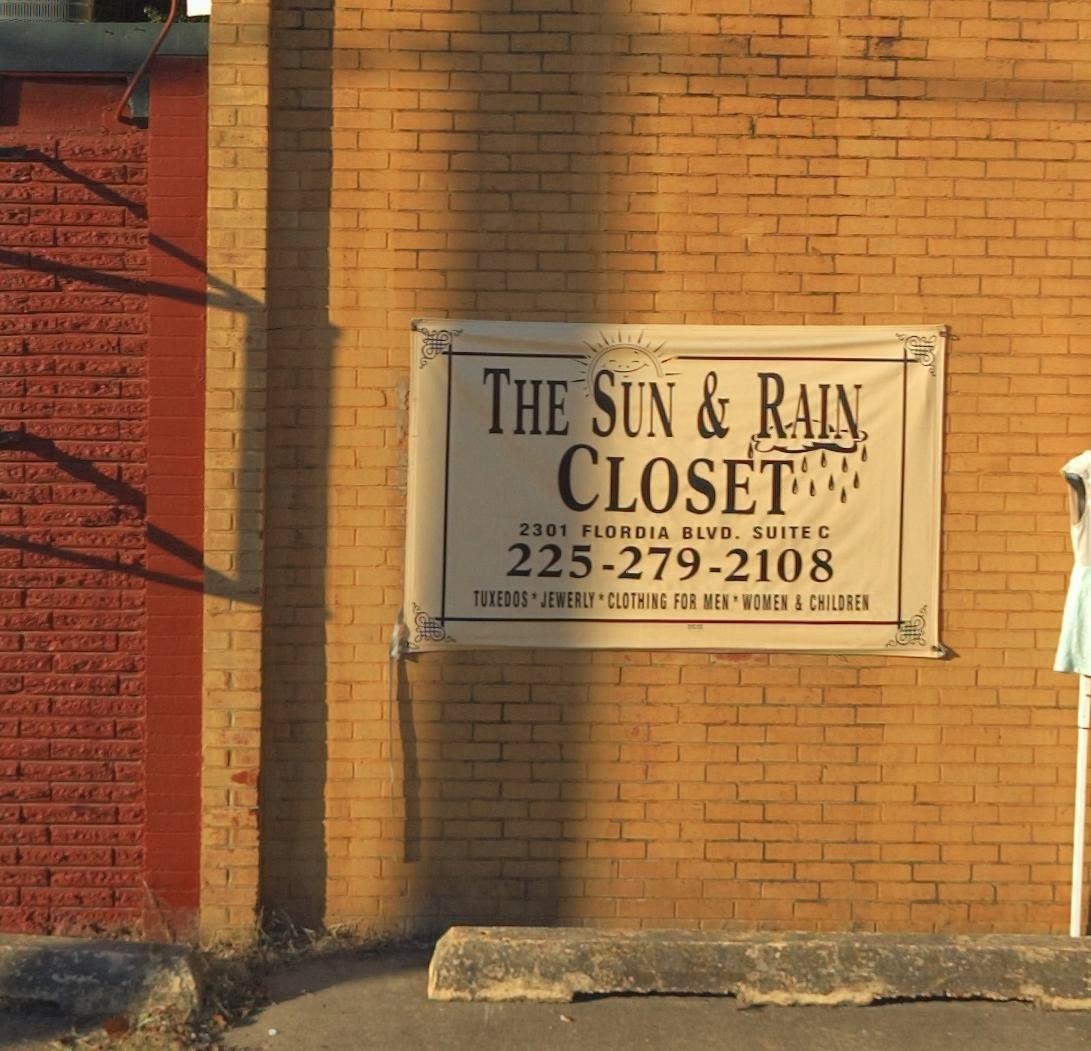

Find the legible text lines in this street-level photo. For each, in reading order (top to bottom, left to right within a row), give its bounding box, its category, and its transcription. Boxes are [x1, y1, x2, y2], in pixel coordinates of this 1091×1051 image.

[479, 364, 867, 442] BusinessName: THE SUN & RAIN
[552, 436, 800, 520] BusinessName: CLOSET
[517, 520, 568, 539] StreetNumber: 2301
[578, 521, 743, 542] StreetNumber: FLORDIA BLVD.
[750, 522, 835, 543] SecondaryUnitDesignator: SUITE C
[501, 538, 838, 586] None: 225-279-2108
[469, 586, 873, 614] None: TUXEDOS * JEWERLY * CLOTHING FOR MEN * WOMEN & CHILDREN